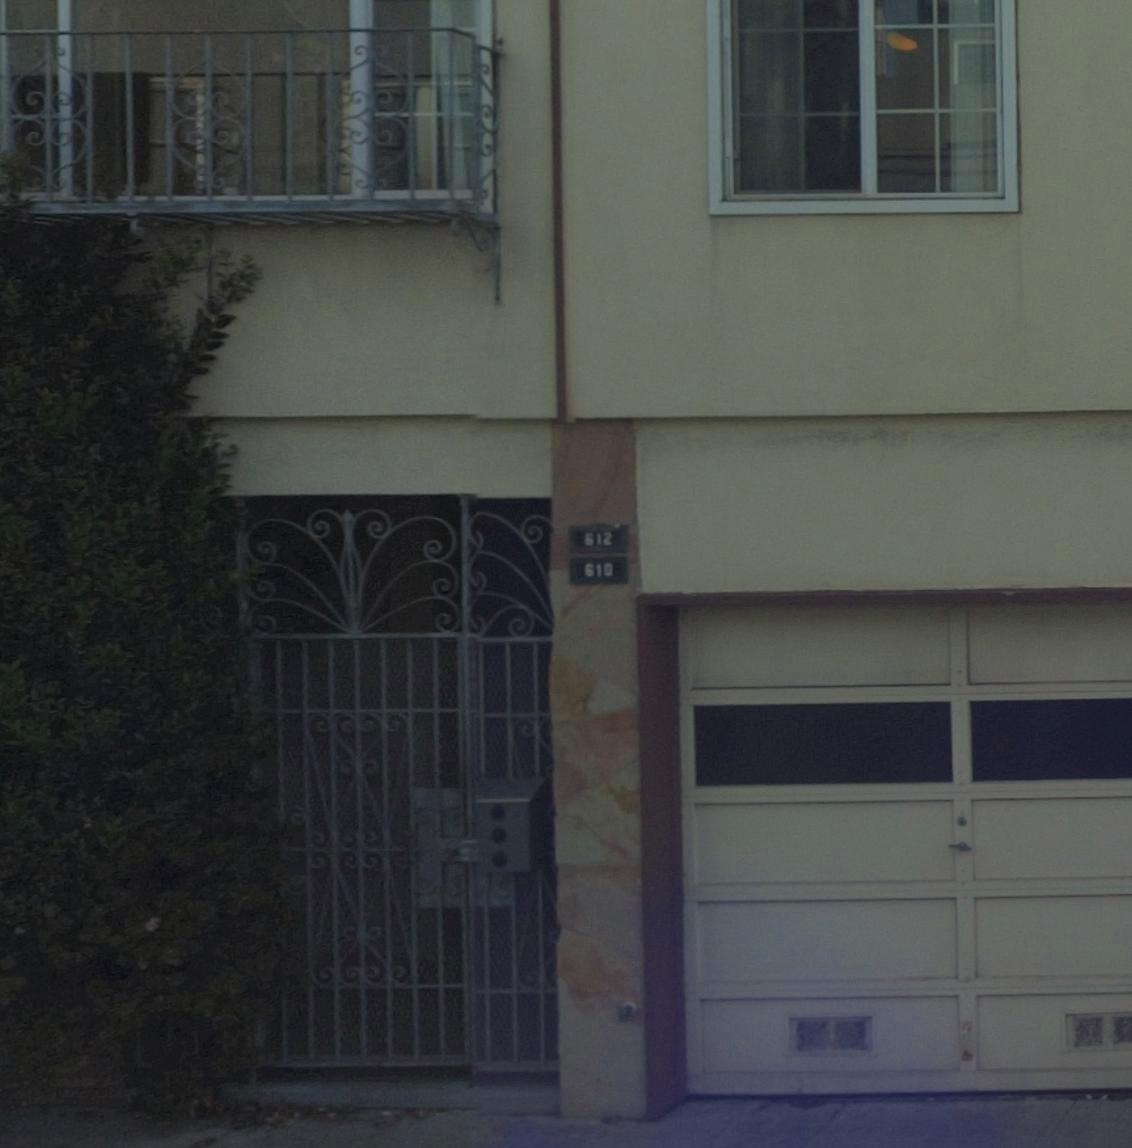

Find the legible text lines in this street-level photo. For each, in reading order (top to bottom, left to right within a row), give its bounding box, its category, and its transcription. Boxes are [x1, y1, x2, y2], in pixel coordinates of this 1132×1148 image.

[582, 529, 614, 549] StreetNumber: 612
[582, 560, 615, 580] StreetNumber: 610